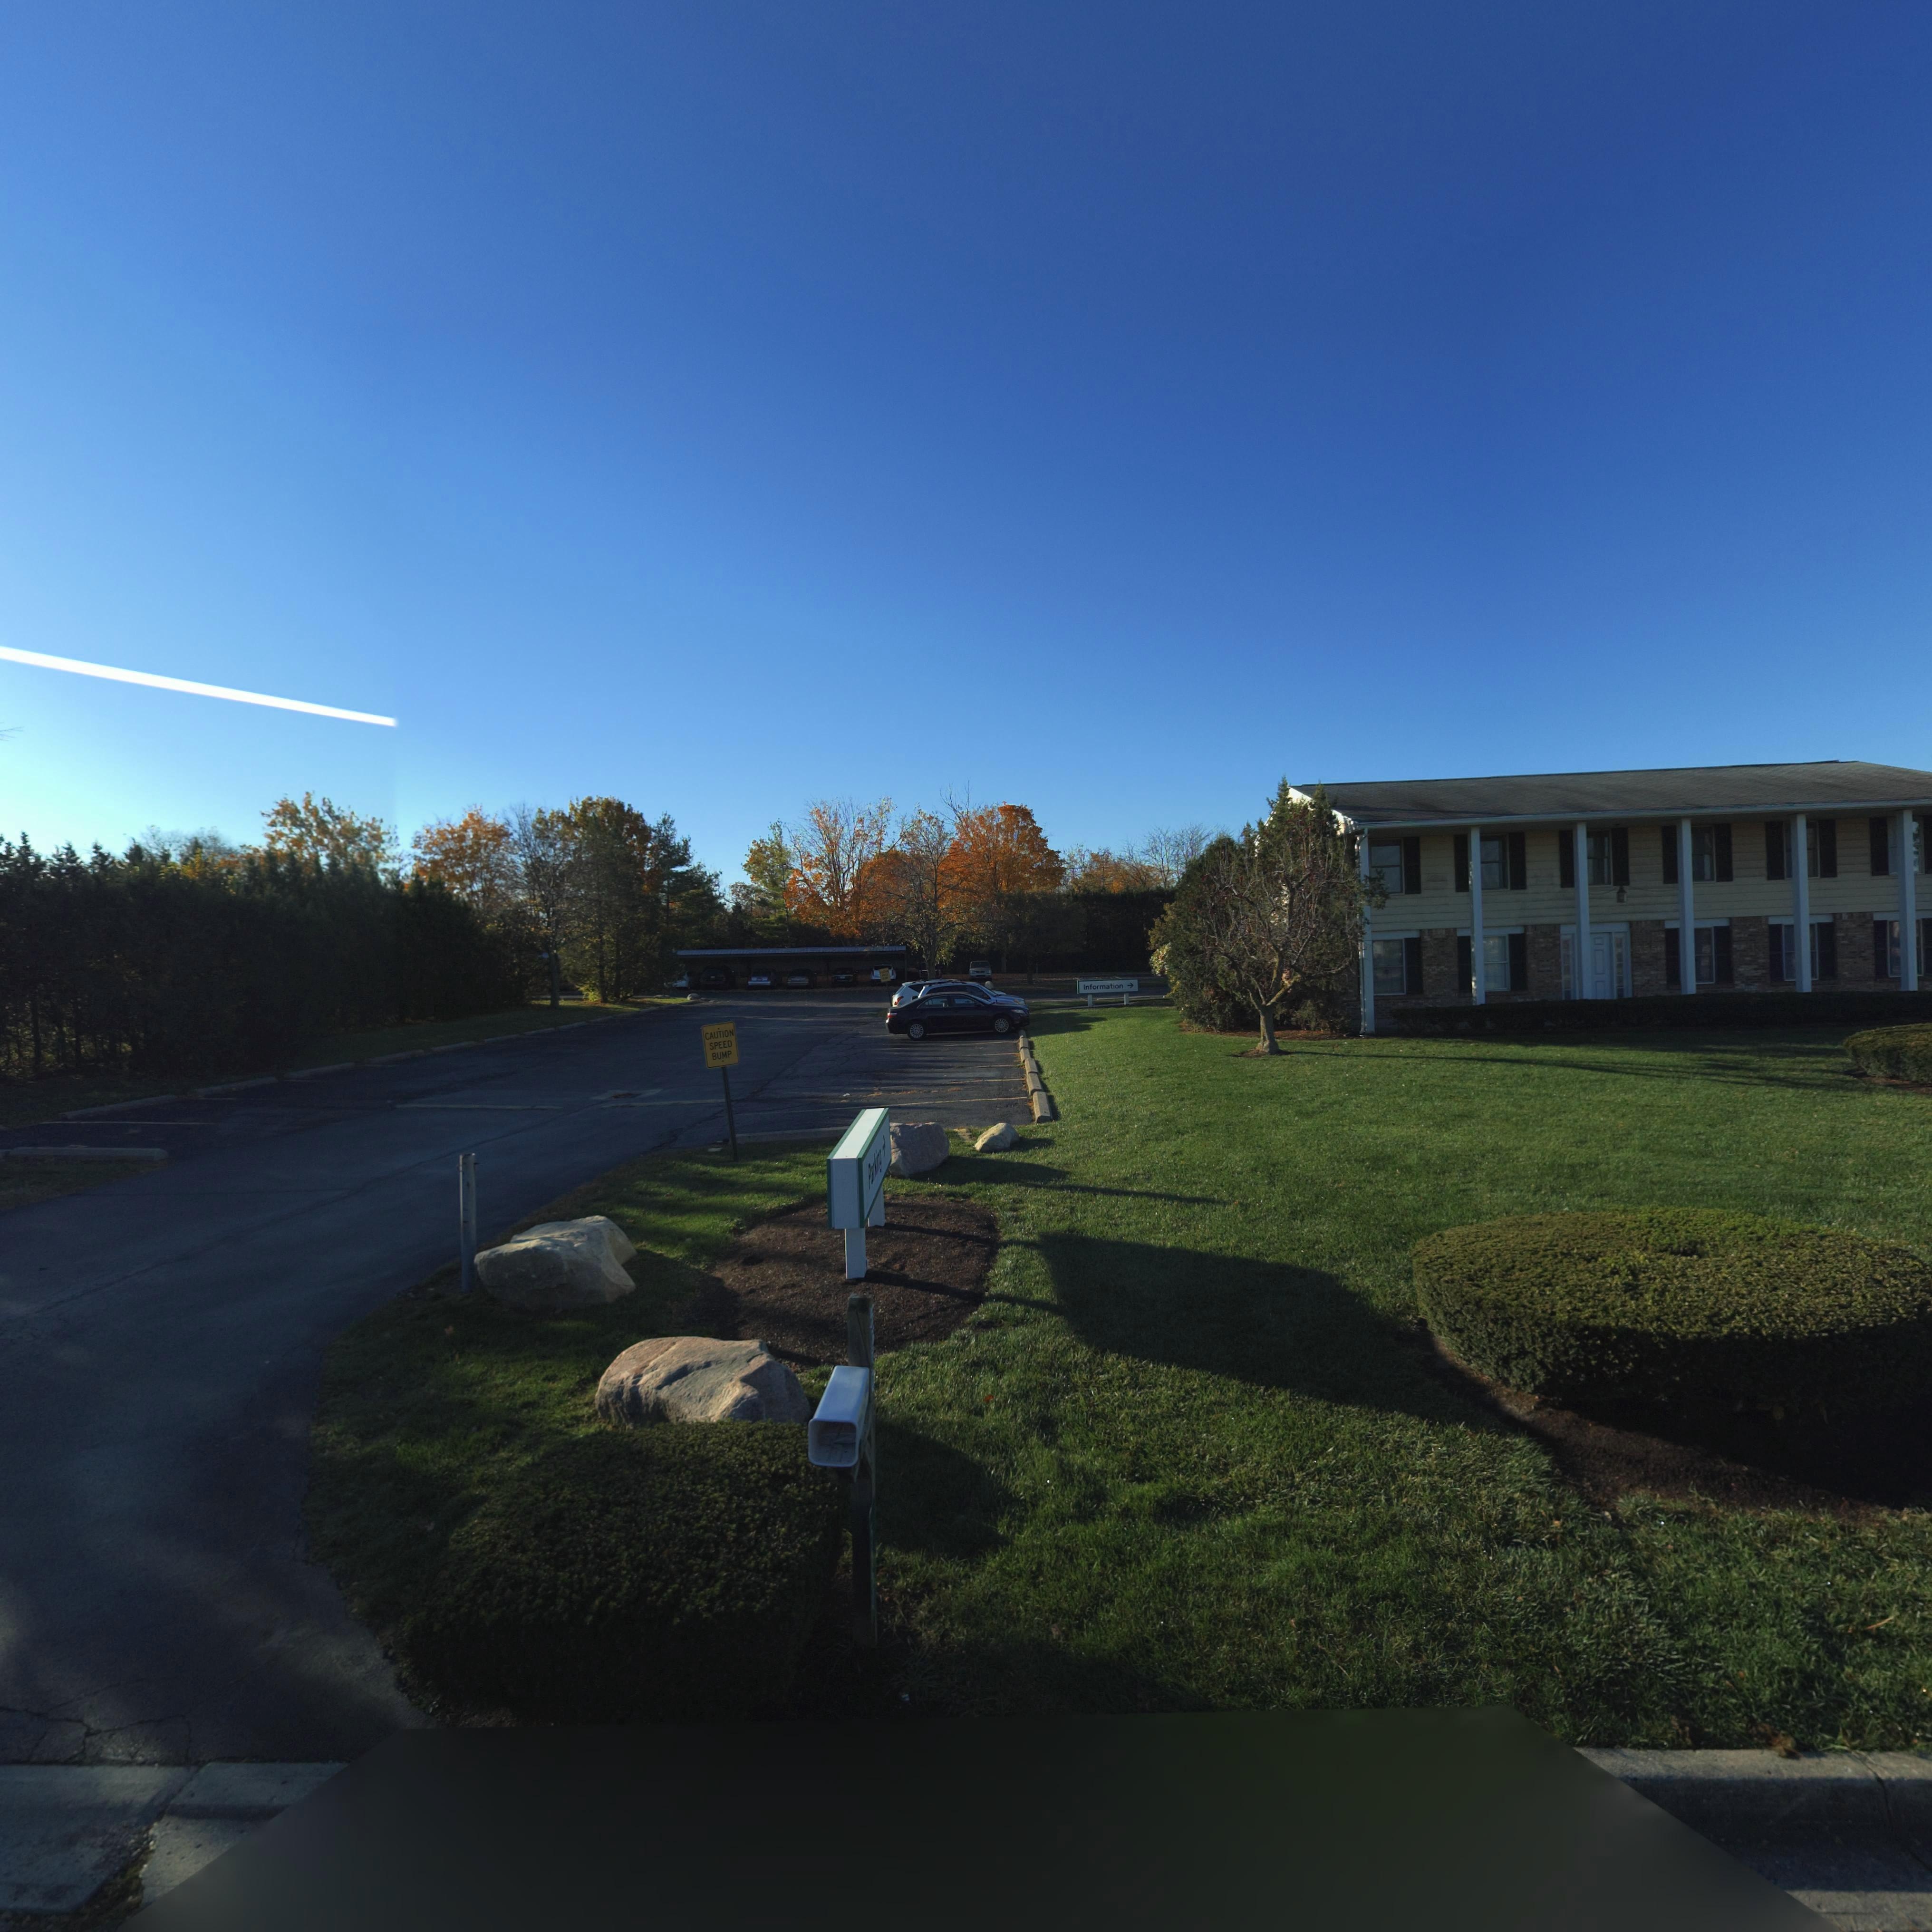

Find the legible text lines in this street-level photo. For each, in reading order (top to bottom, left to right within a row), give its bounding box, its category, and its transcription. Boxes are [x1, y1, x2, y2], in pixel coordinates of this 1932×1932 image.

[1635, 945, 1665, 954] StreetNumber: 5550